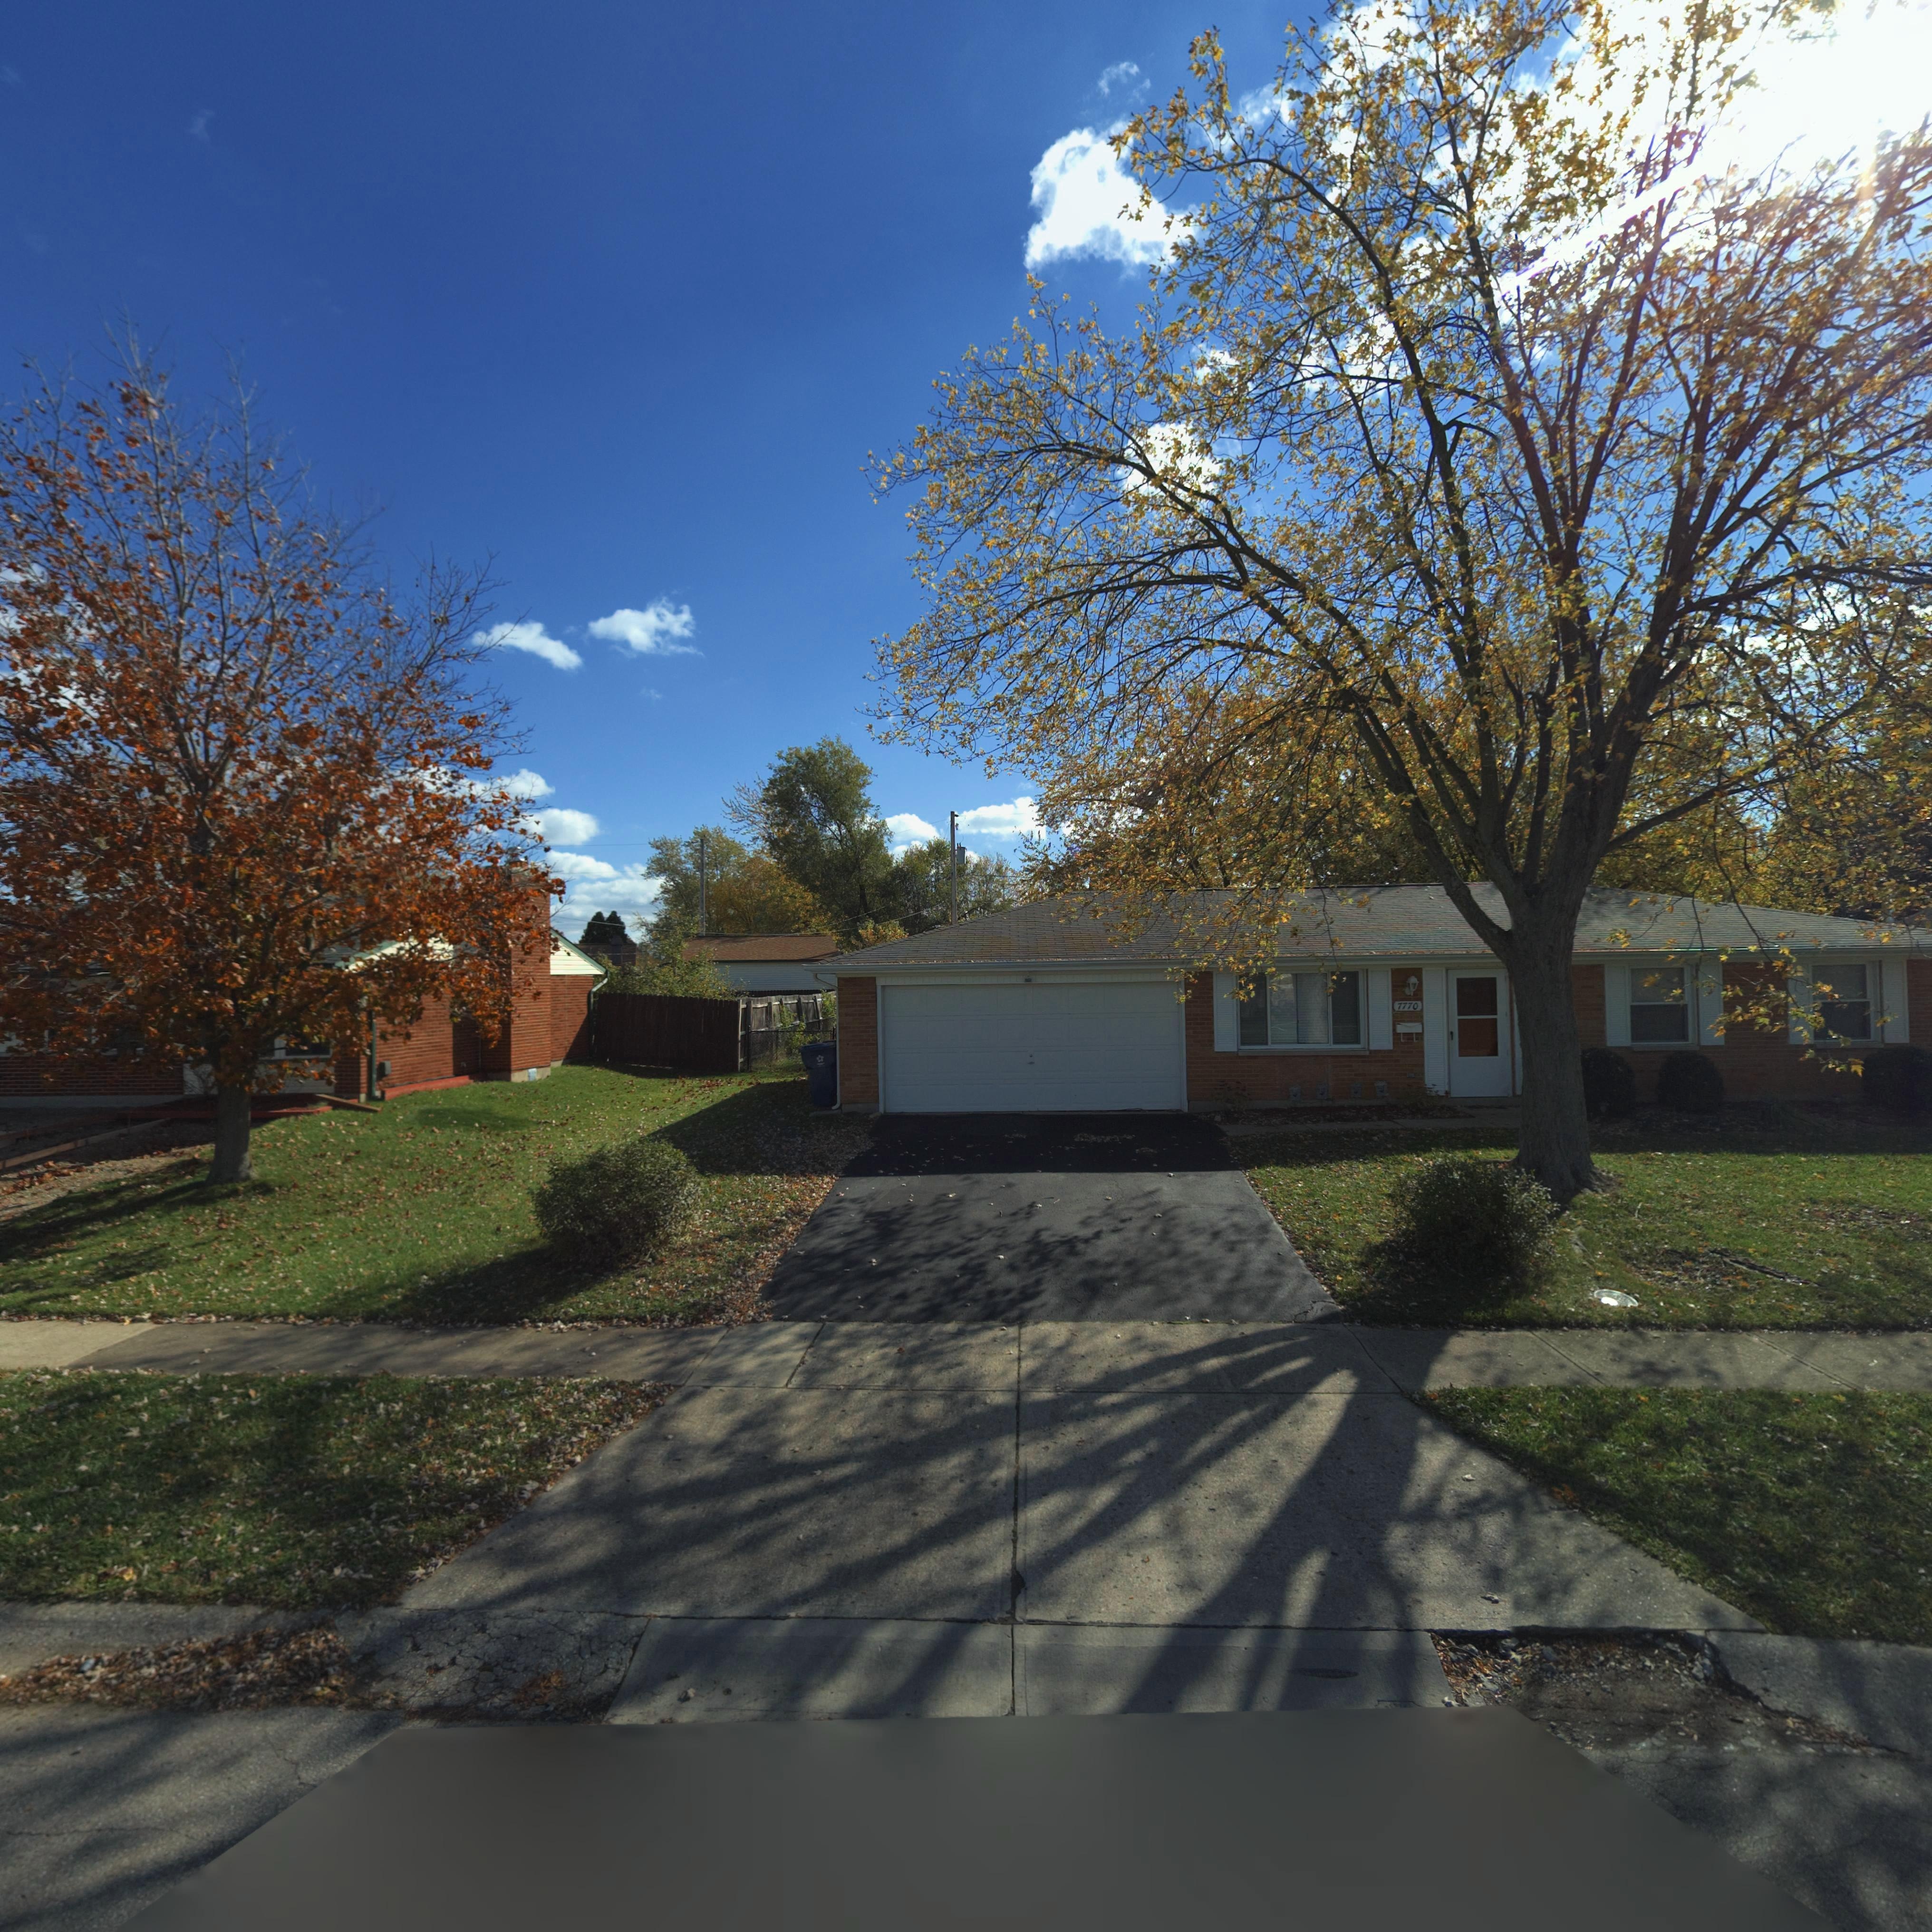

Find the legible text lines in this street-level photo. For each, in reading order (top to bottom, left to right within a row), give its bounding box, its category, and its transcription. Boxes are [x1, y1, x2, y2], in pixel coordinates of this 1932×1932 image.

[1397, 1002, 1418, 1010] StreetNumber: 7770